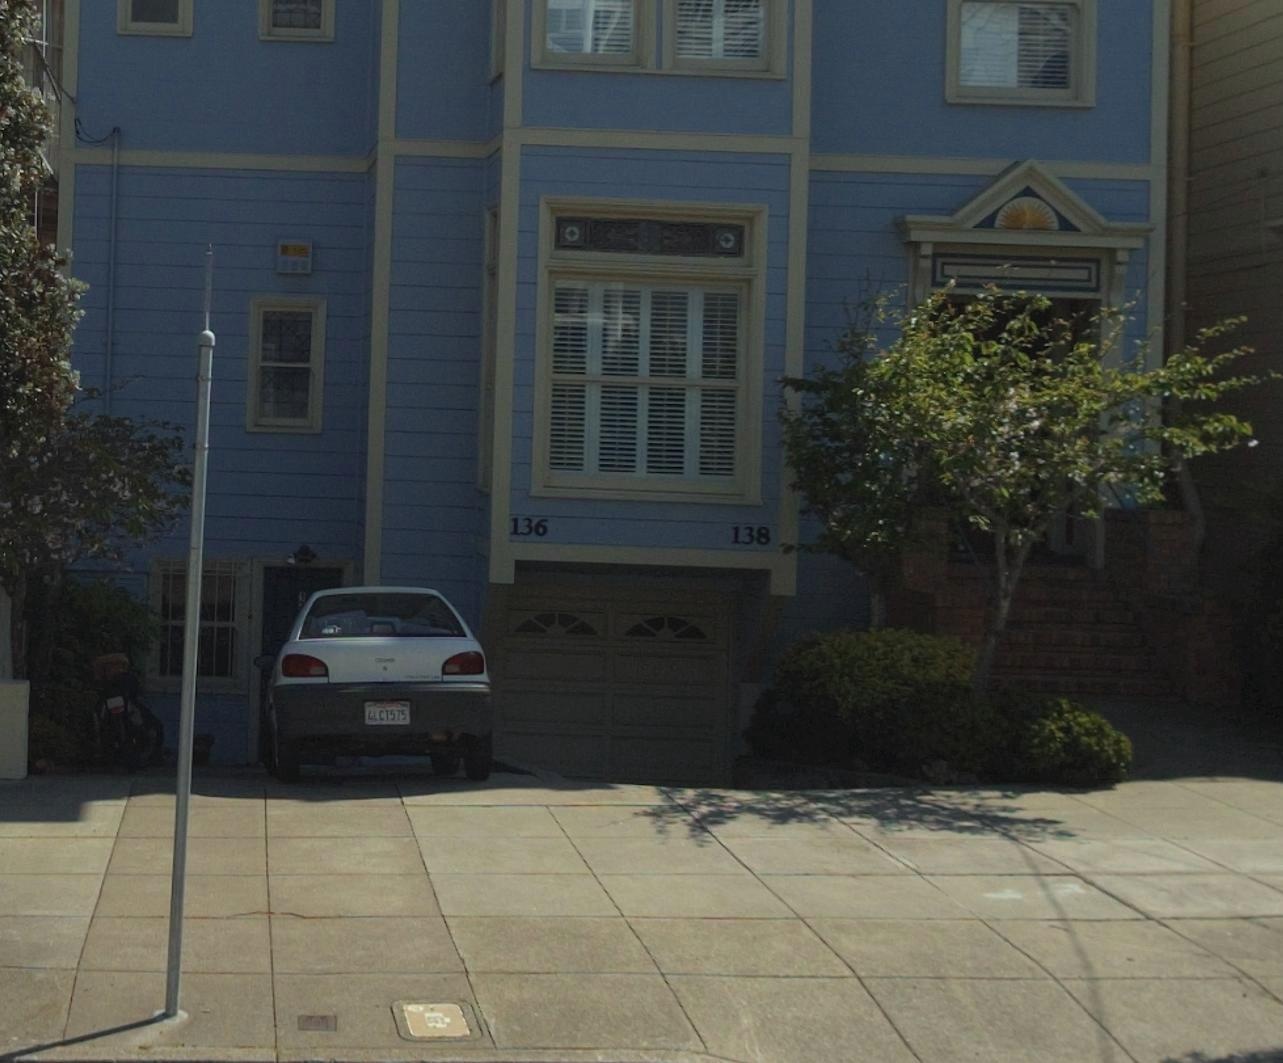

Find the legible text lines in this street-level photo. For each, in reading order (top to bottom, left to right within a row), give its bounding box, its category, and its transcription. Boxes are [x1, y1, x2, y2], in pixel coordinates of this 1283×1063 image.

[511, 516, 552, 537] StreetNumber: 136
[729, 524, 772, 546] StreetNumber: 138